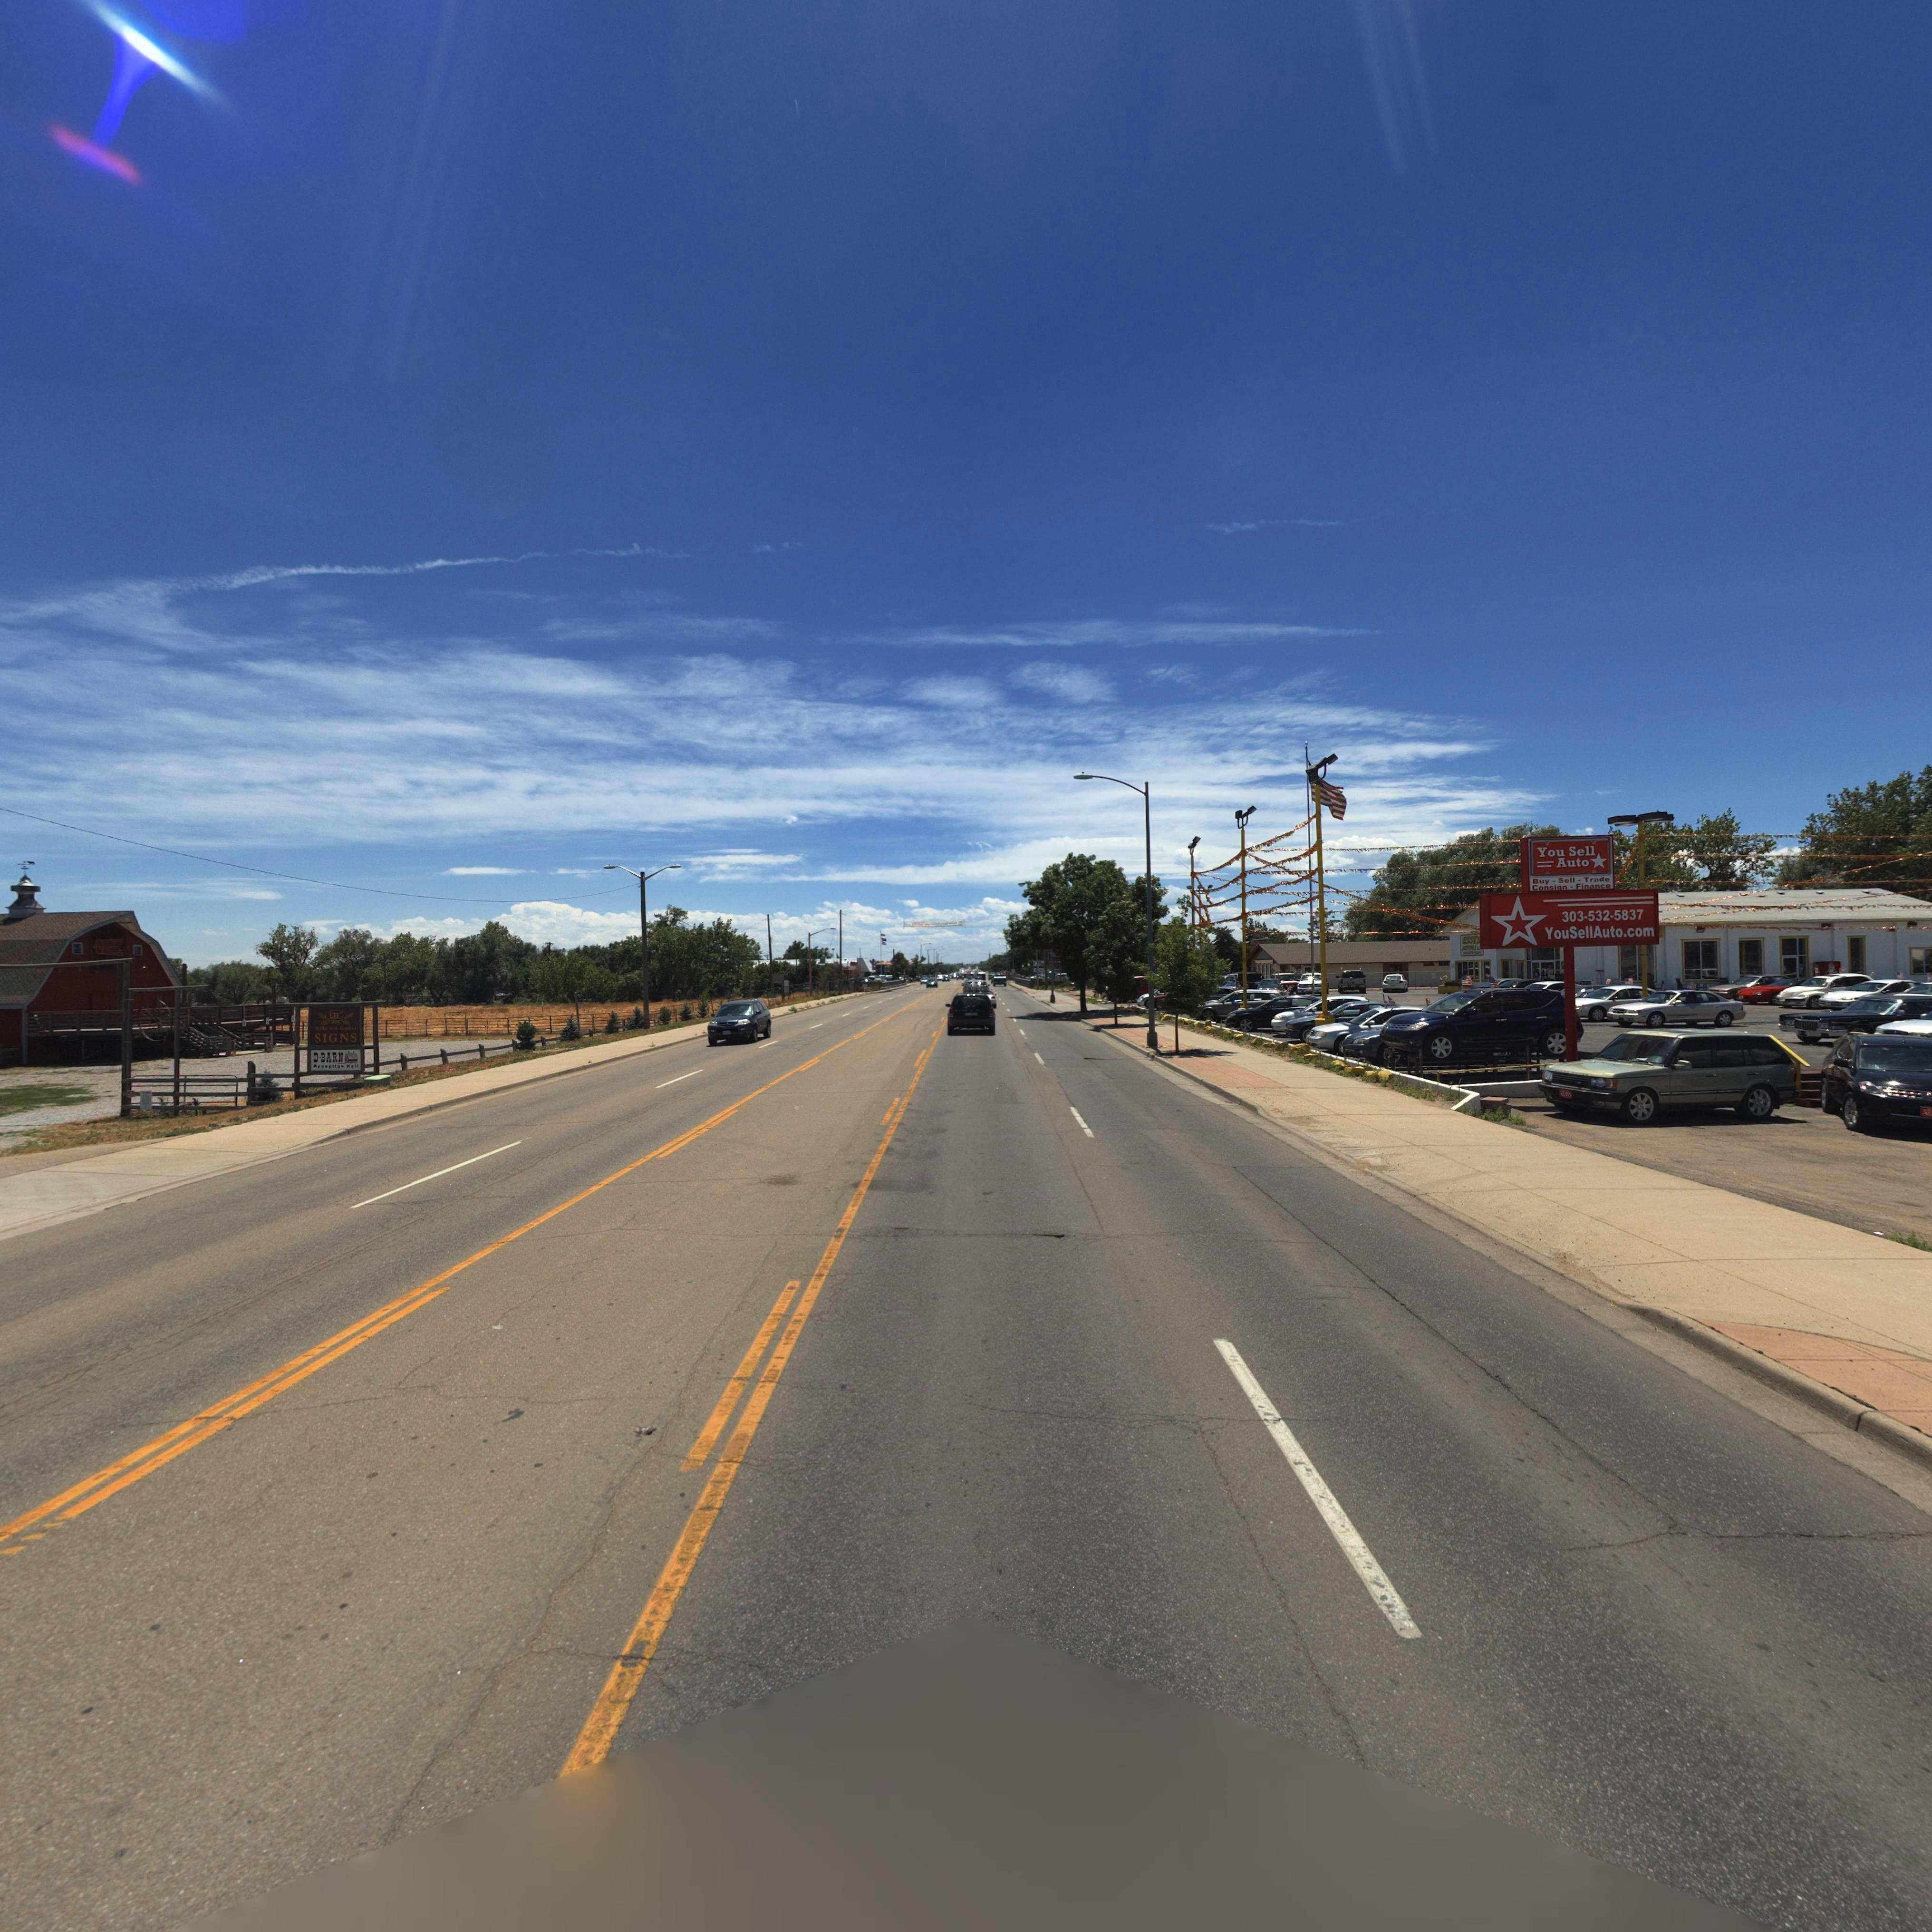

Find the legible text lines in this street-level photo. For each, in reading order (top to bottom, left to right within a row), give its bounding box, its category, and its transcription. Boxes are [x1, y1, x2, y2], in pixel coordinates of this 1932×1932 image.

[1535, 845, 1595, 857] BusinessName: You Sell
[1555, 857, 1590, 867] BusinessName: Auto
[1462, 935, 1479, 944] BusinessName: ESSE*